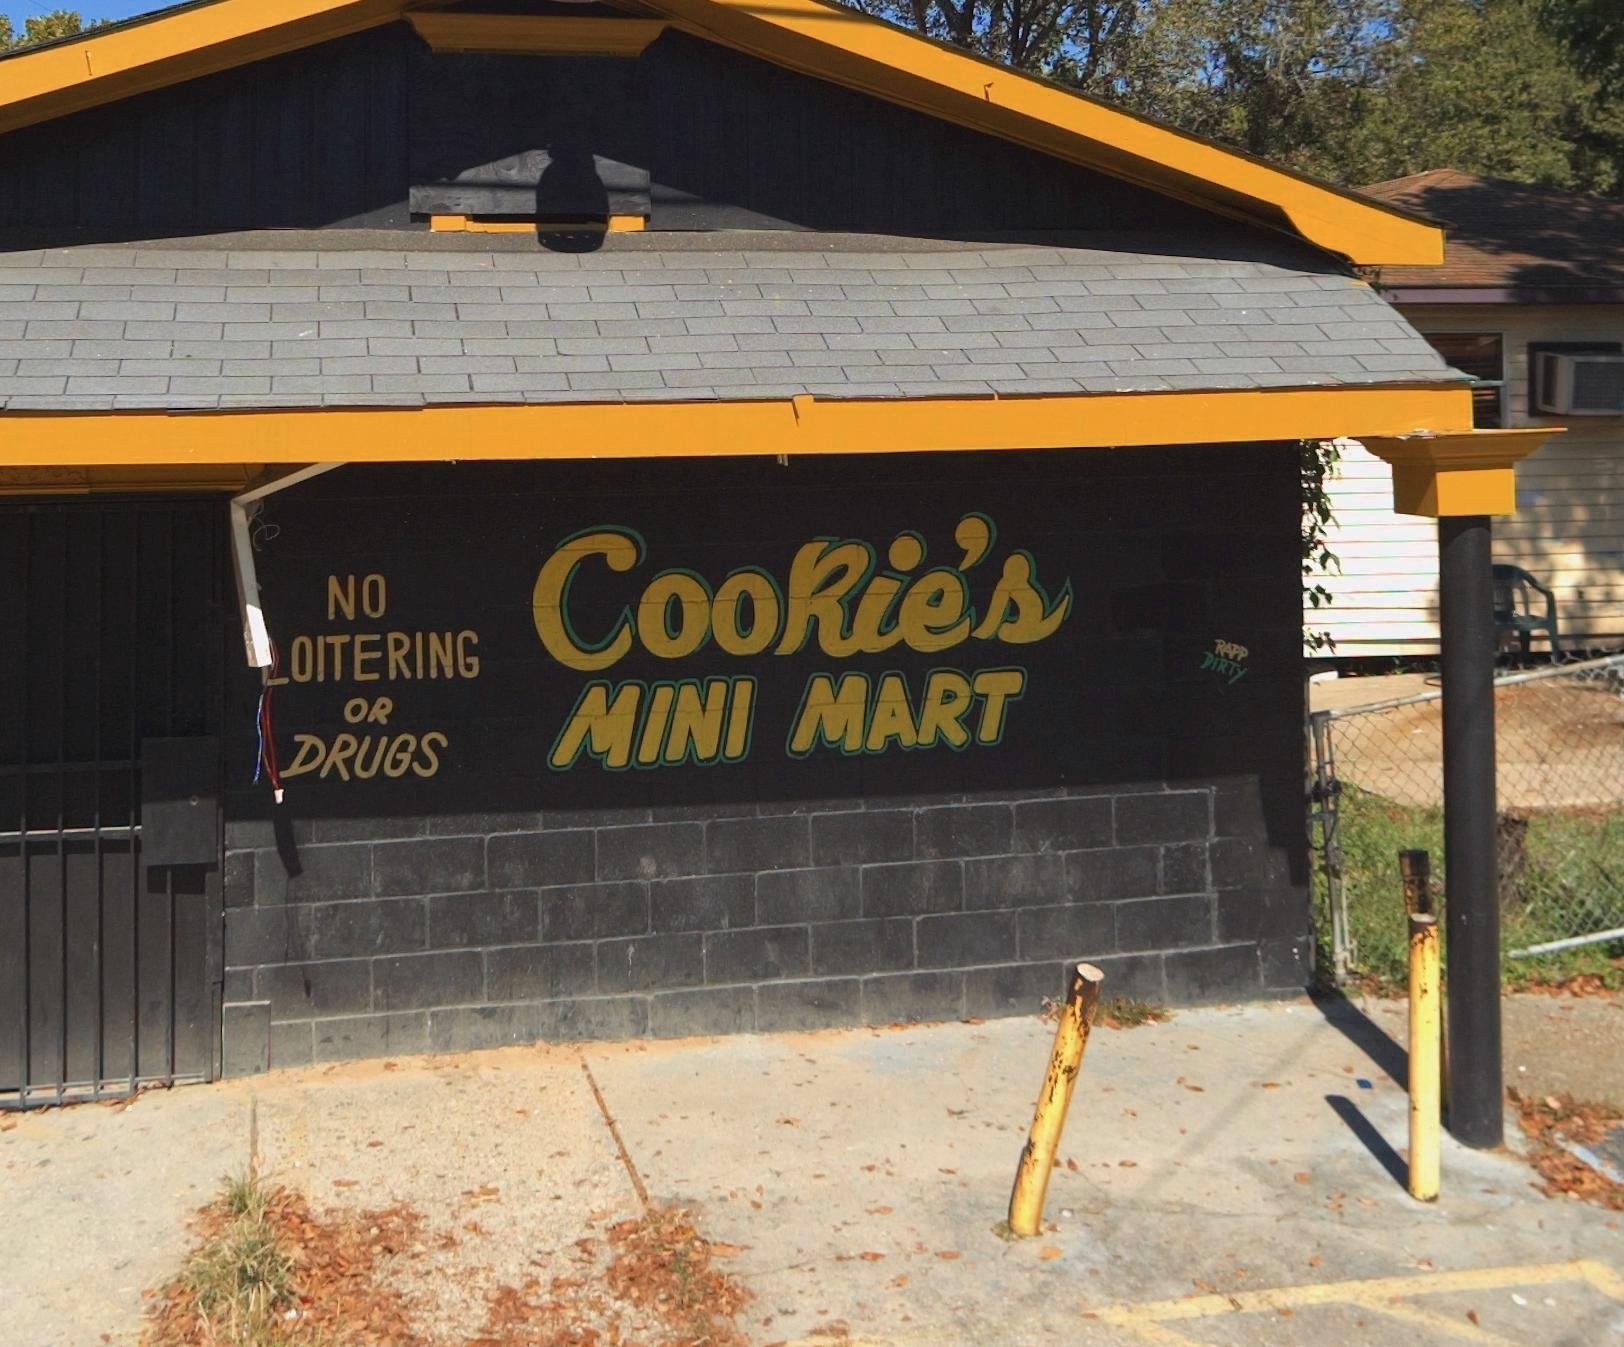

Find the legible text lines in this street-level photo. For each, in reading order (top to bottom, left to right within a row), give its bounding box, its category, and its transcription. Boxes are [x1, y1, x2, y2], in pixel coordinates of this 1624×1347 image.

[326, 571, 388, 622] None: NO
[530, 505, 1076, 678] BusinessName: Cookie's
[260, 629, 481, 688] None: *OITERING
[1196, 647, 1251, 690] None: DIRTY
[1211, 636, 1254, 663] None: RAPP
[342, 695, 395, 726] None: OR
[535, 664, 1037, 774] BusinessName: MINI MART
[277, 730, 451, 781] None: DRUGS